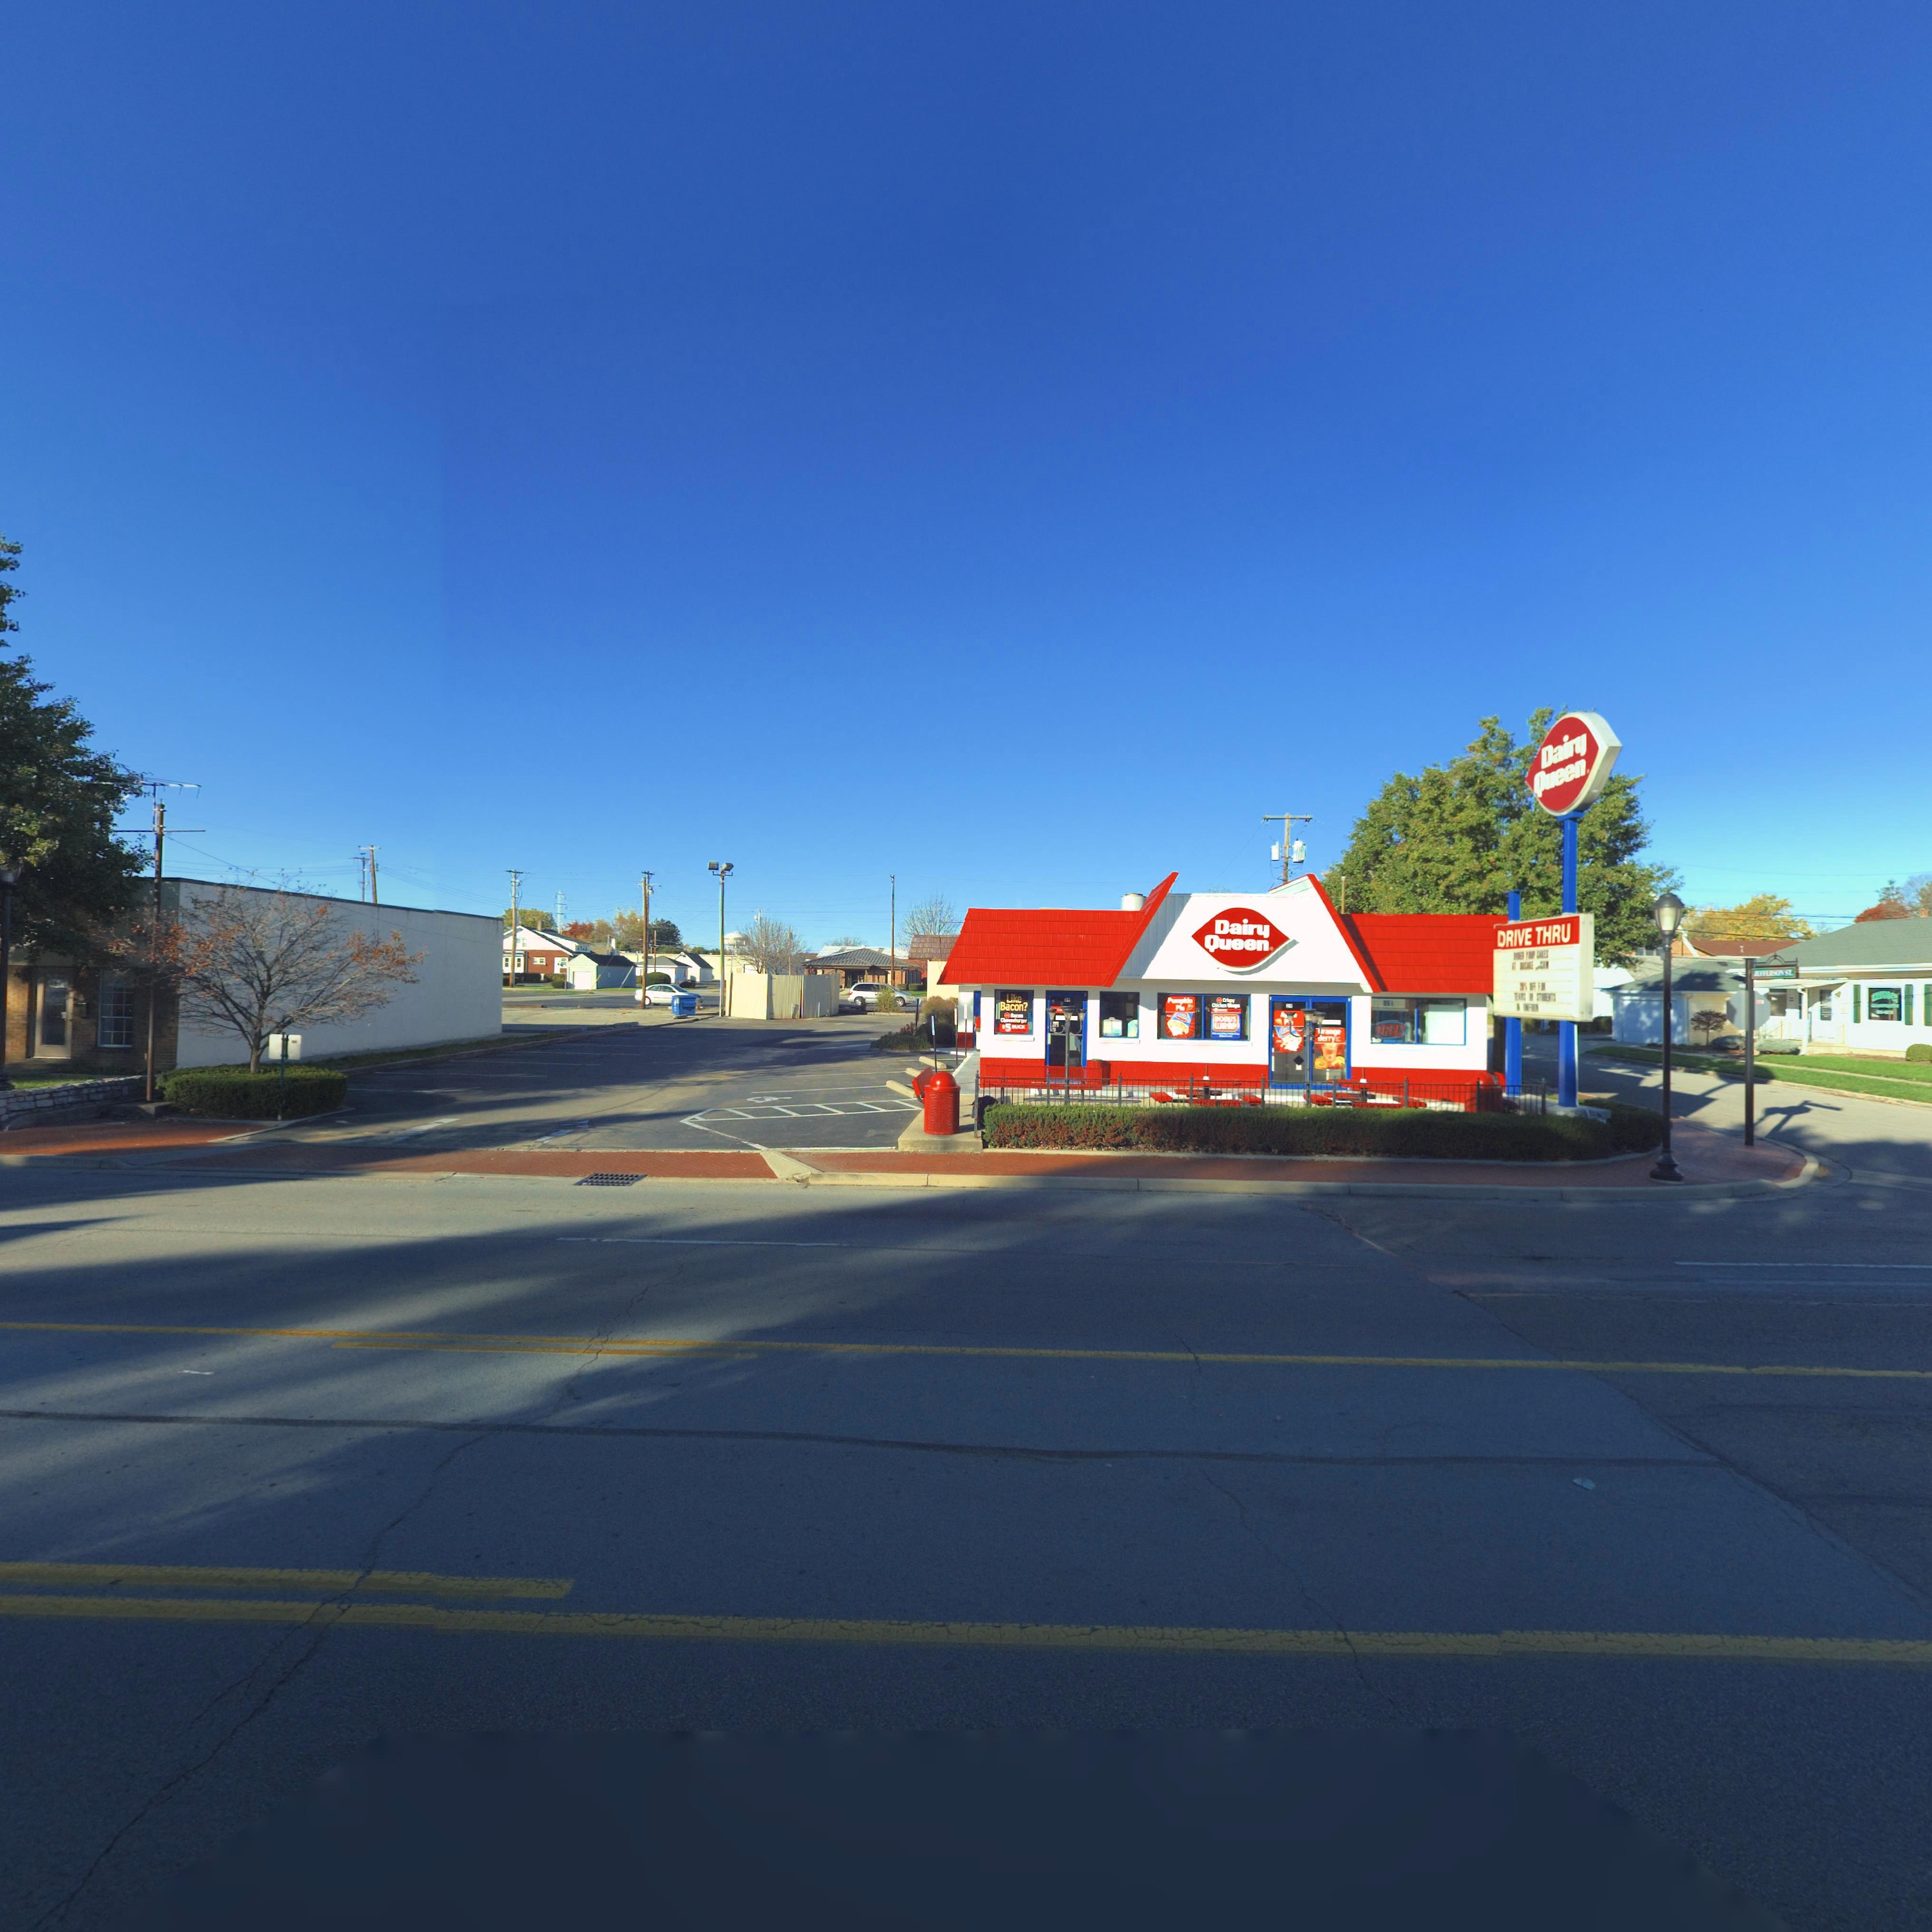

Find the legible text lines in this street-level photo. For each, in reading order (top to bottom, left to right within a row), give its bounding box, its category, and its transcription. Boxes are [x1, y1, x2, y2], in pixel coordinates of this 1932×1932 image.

[1539, 726, 1589, 771] BusinessName: Dairy
[1529, 752, 1591, 803] BusinessName: Queen
[1201, 933, 1273, 955] BusinessName: Queen
[1213, 918, 1271, 938] BusinessName: Dairy
[1495, 921, 1574, 951] None: DRIVE THRU
[1064, 997, 1071, 1001] StreetNumber: 29
[1174, 1005, 1185, 1012] None: P**
[1167, 996, 1193, 1005] None: P******
[1285, 1004, 1293, 1008] StreetNumber: 29